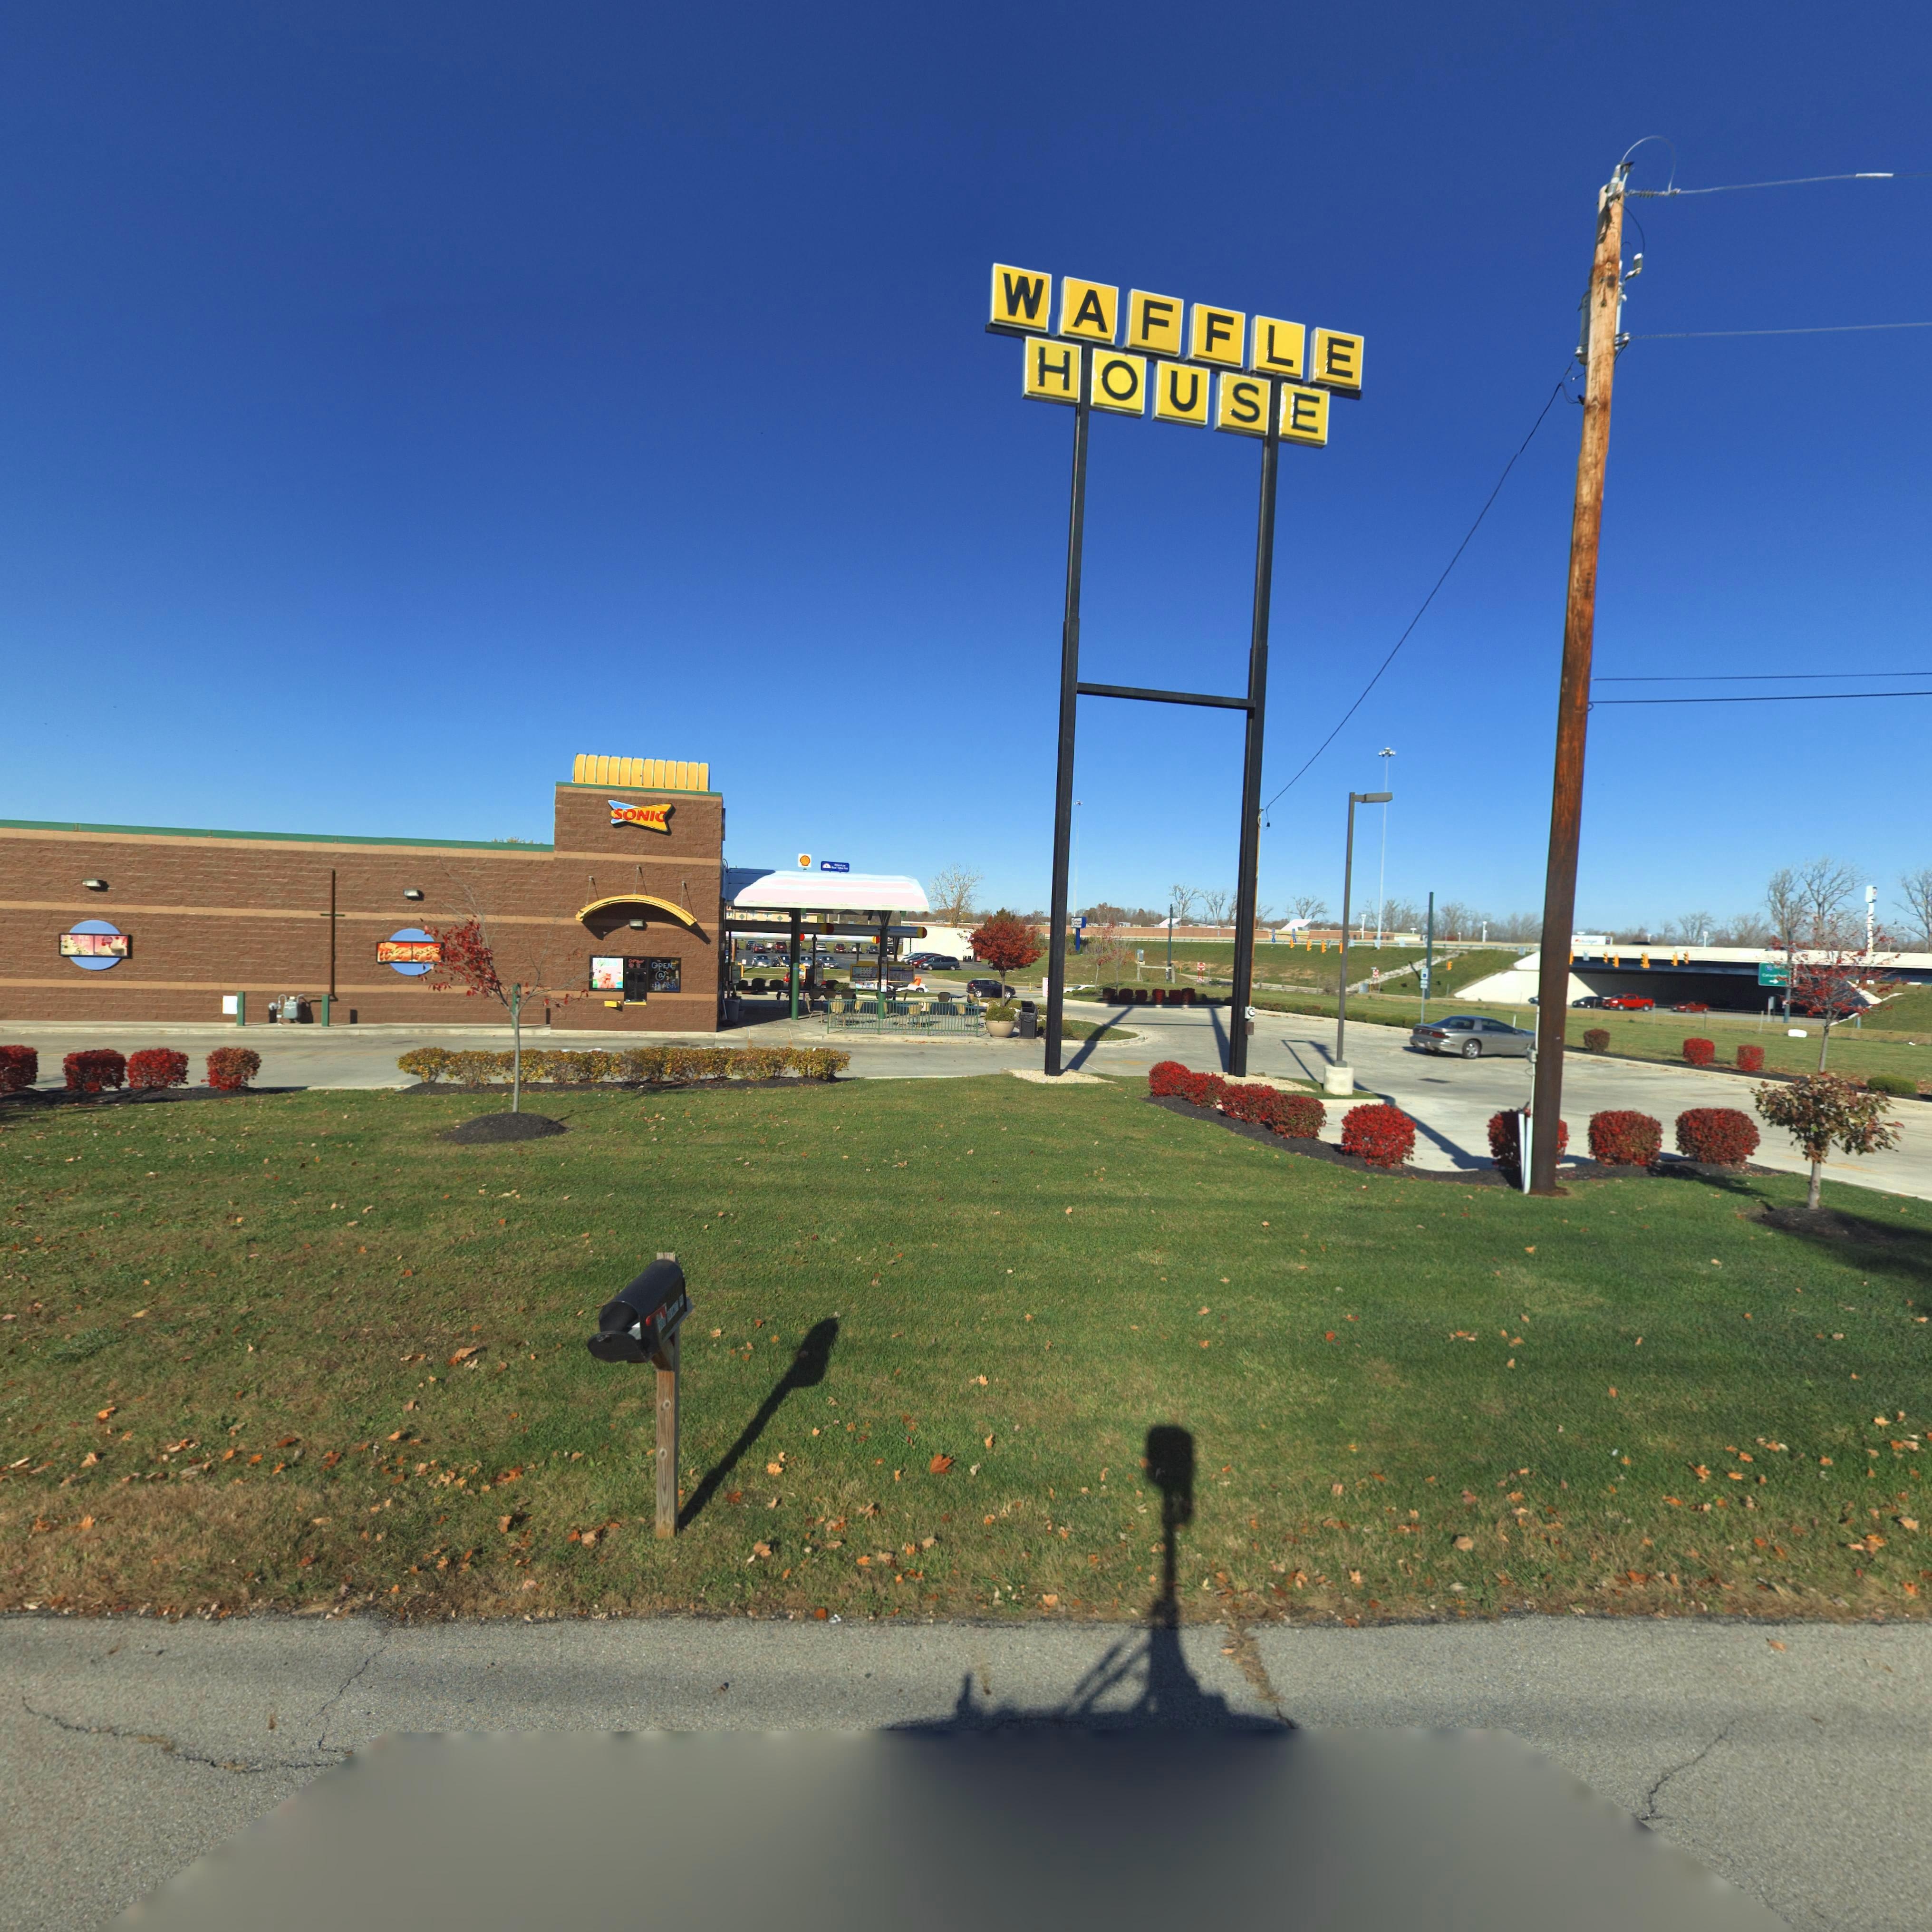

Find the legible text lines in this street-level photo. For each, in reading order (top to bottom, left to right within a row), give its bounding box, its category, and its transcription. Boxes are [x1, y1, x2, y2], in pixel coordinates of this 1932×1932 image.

[657, 1314, 666, 1333] StreetNumber: *8*